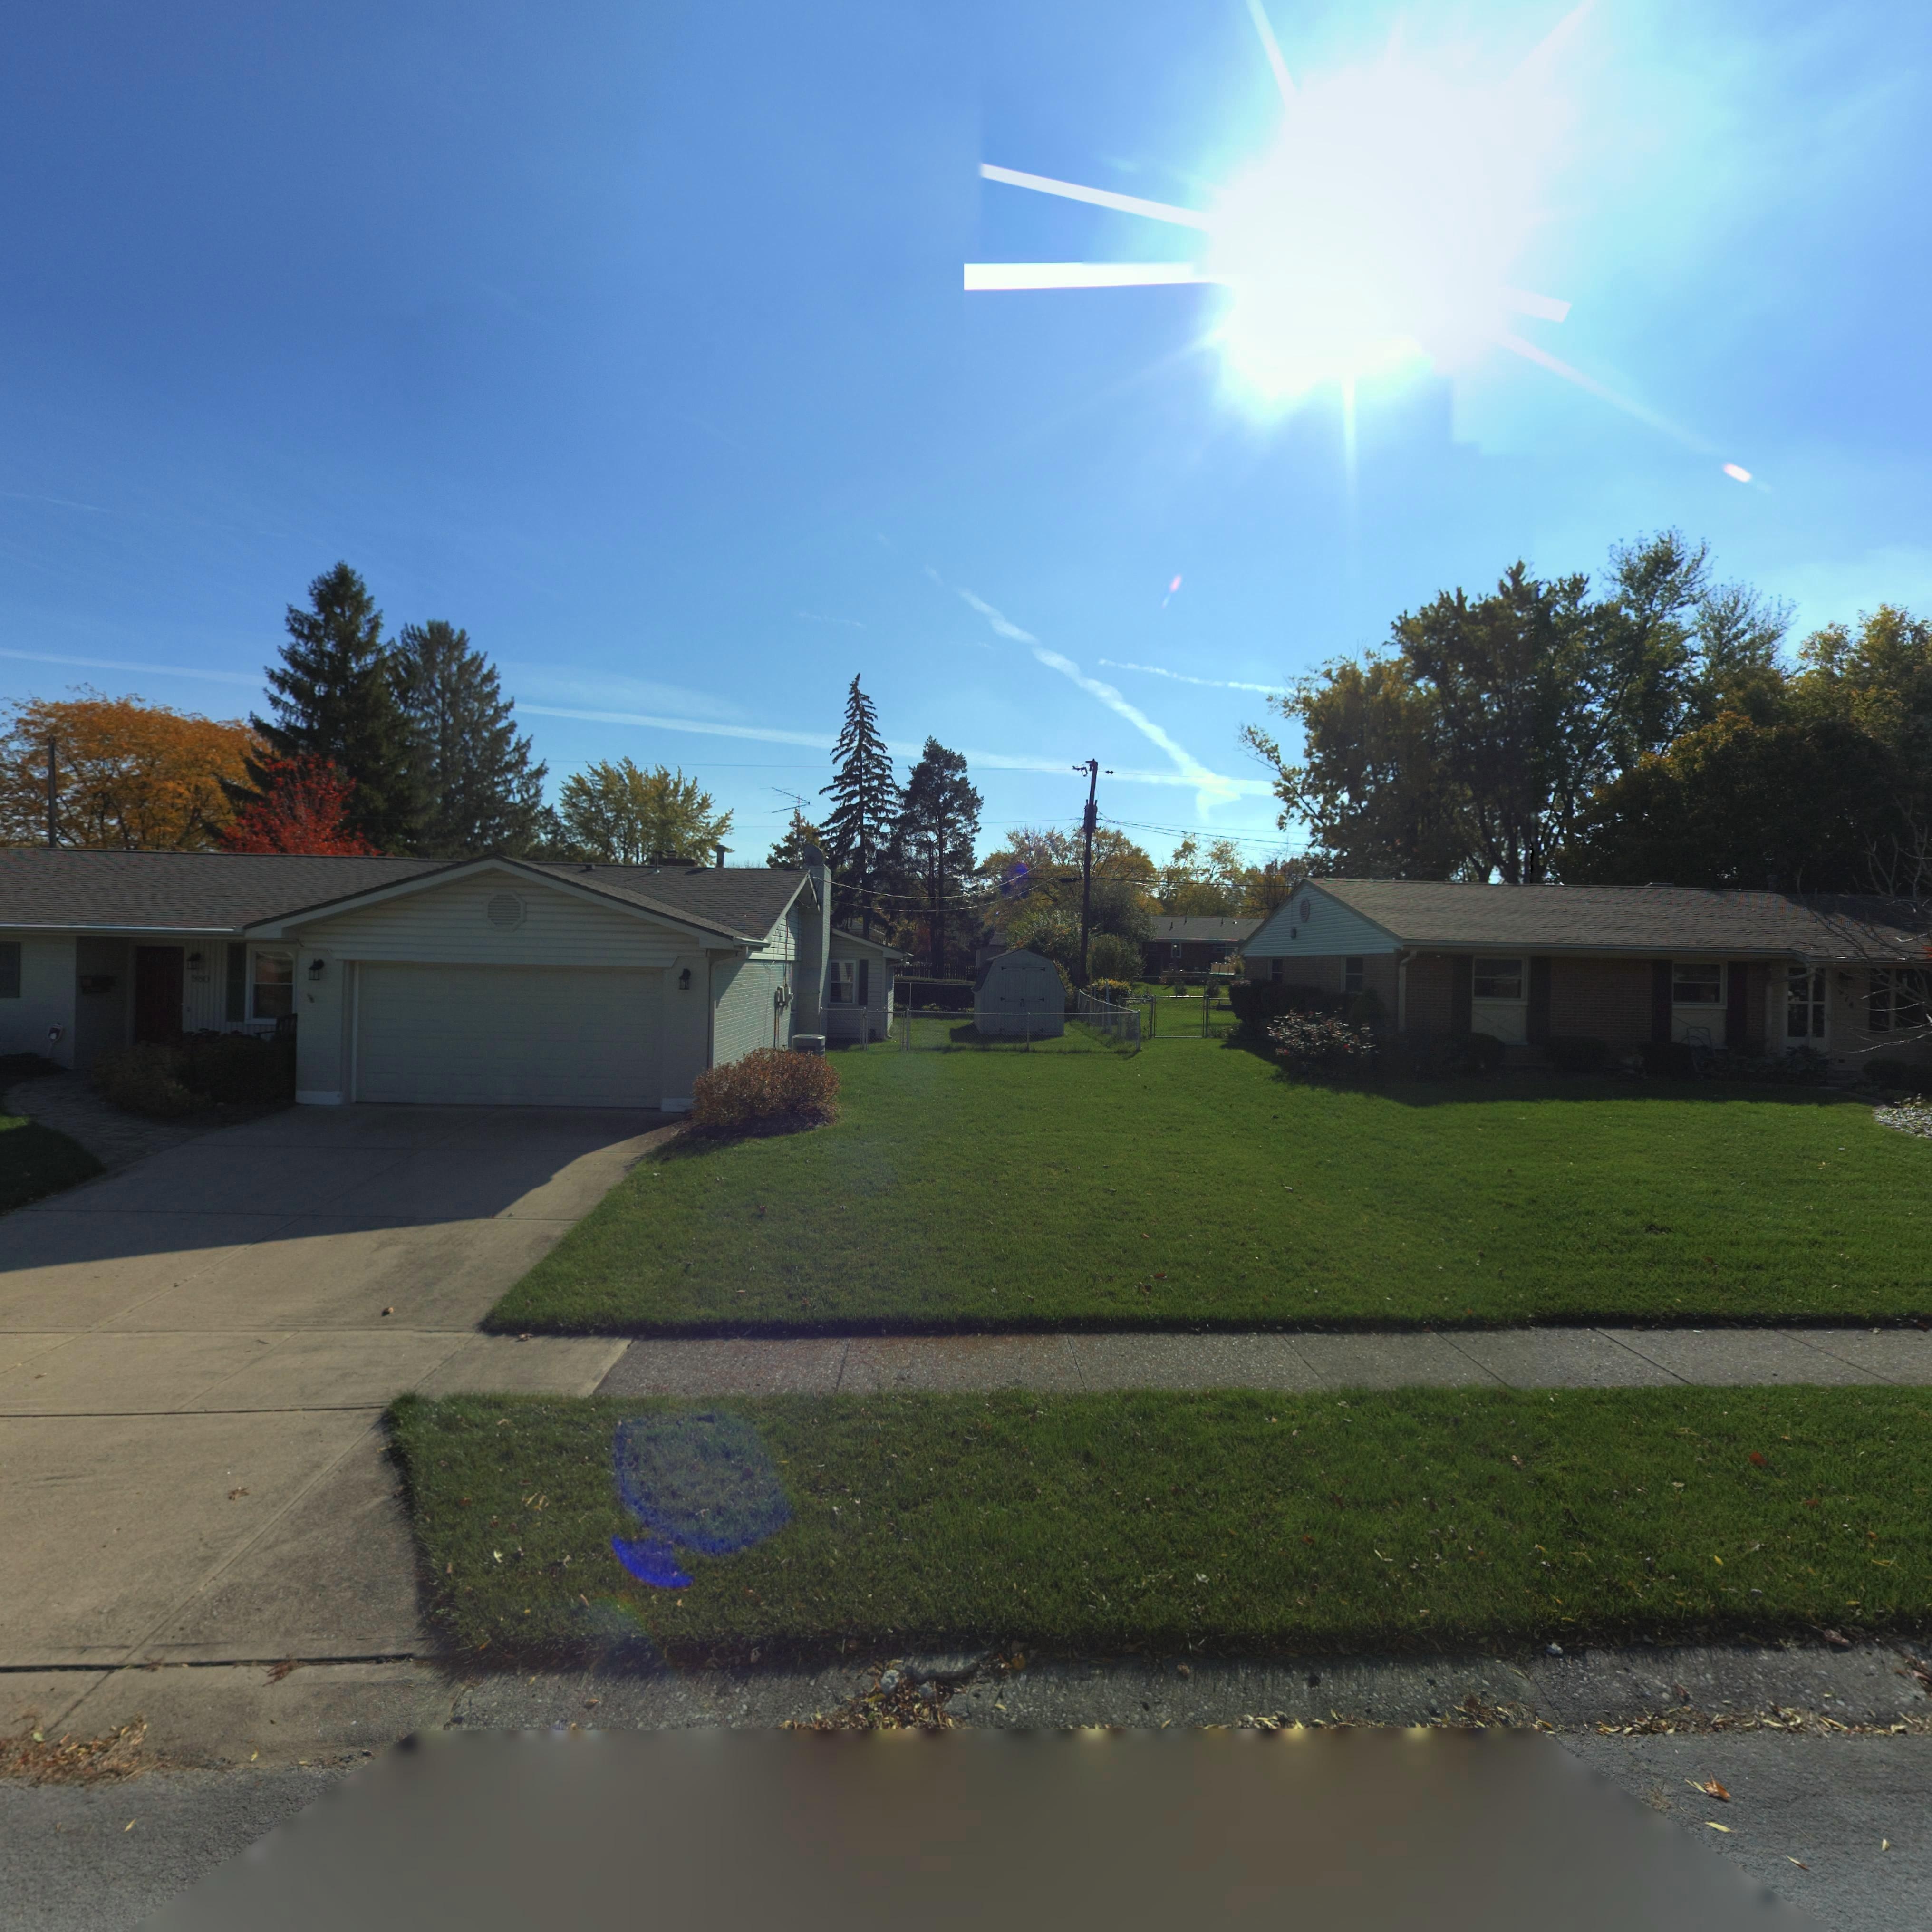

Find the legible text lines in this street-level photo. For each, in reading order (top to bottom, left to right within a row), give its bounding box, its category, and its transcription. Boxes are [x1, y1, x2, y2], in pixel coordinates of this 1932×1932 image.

[190, 974, 211, 983] StreetNumber: 980
[1837, 987, 1855, 1010] StreetNumber: **4